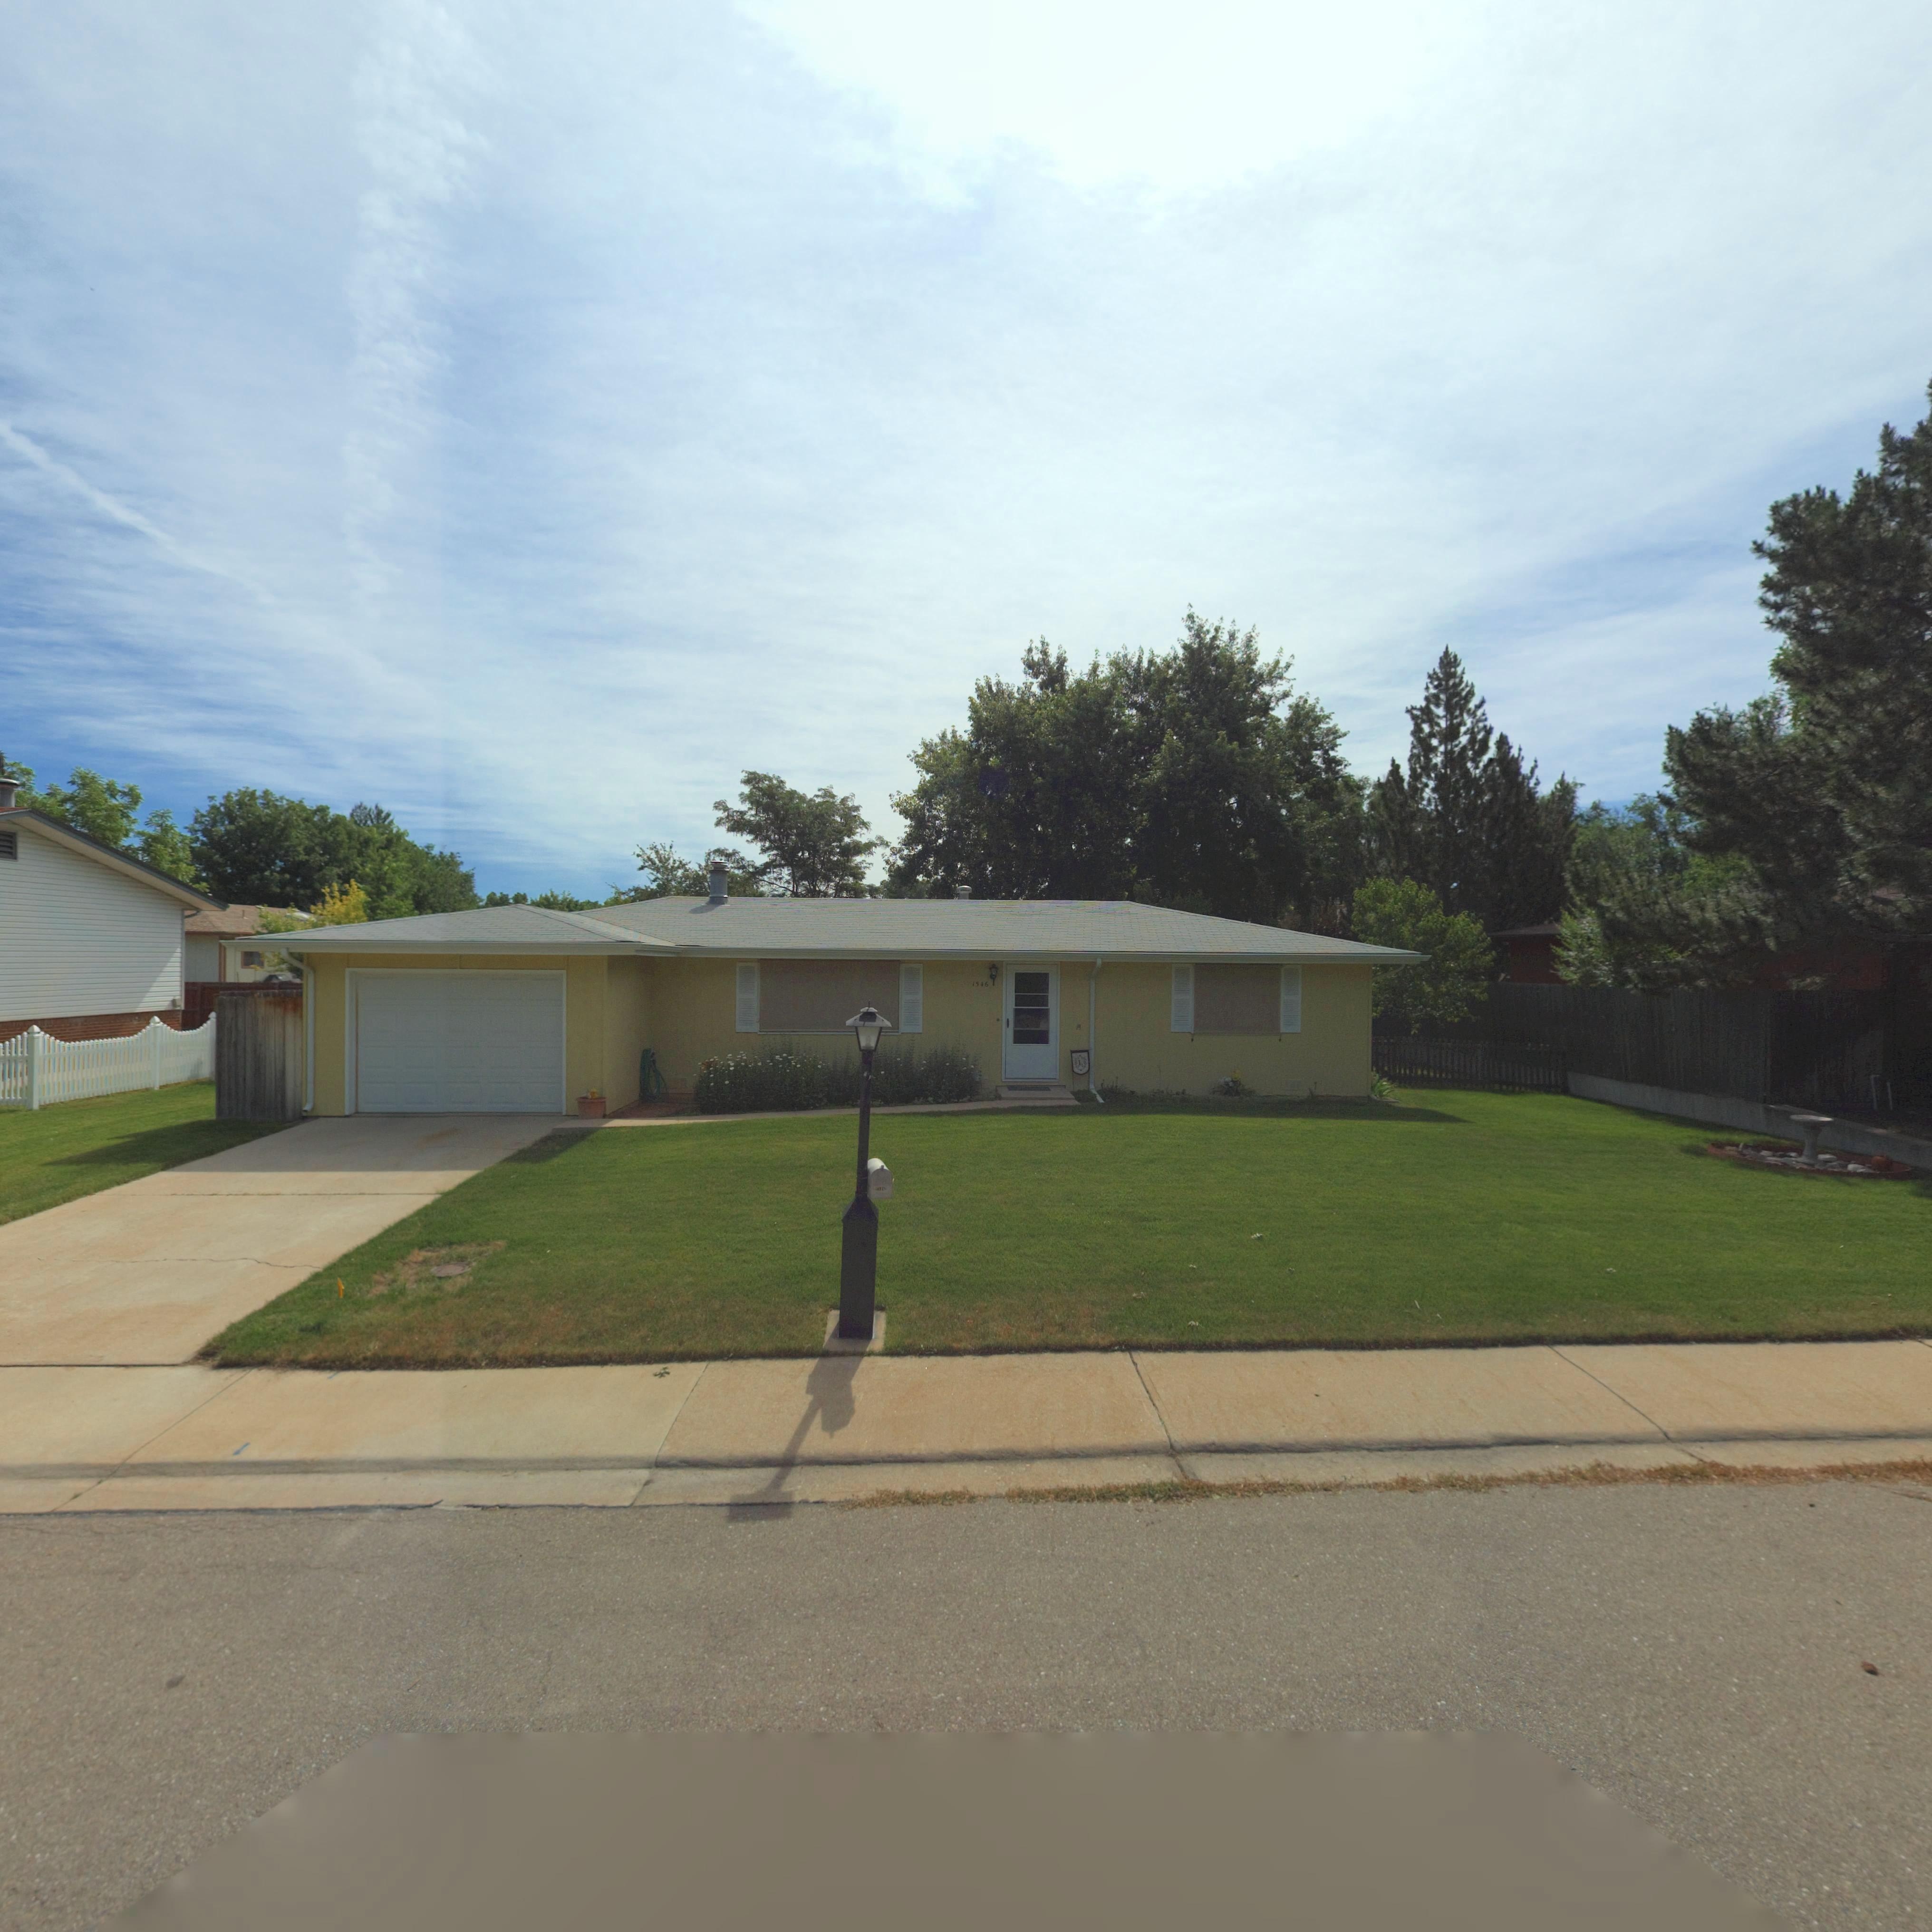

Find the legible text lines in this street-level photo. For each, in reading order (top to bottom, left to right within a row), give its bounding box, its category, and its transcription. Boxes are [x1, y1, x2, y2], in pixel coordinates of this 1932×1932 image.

[972, 981, 988, 987] StreetNumber: 1546